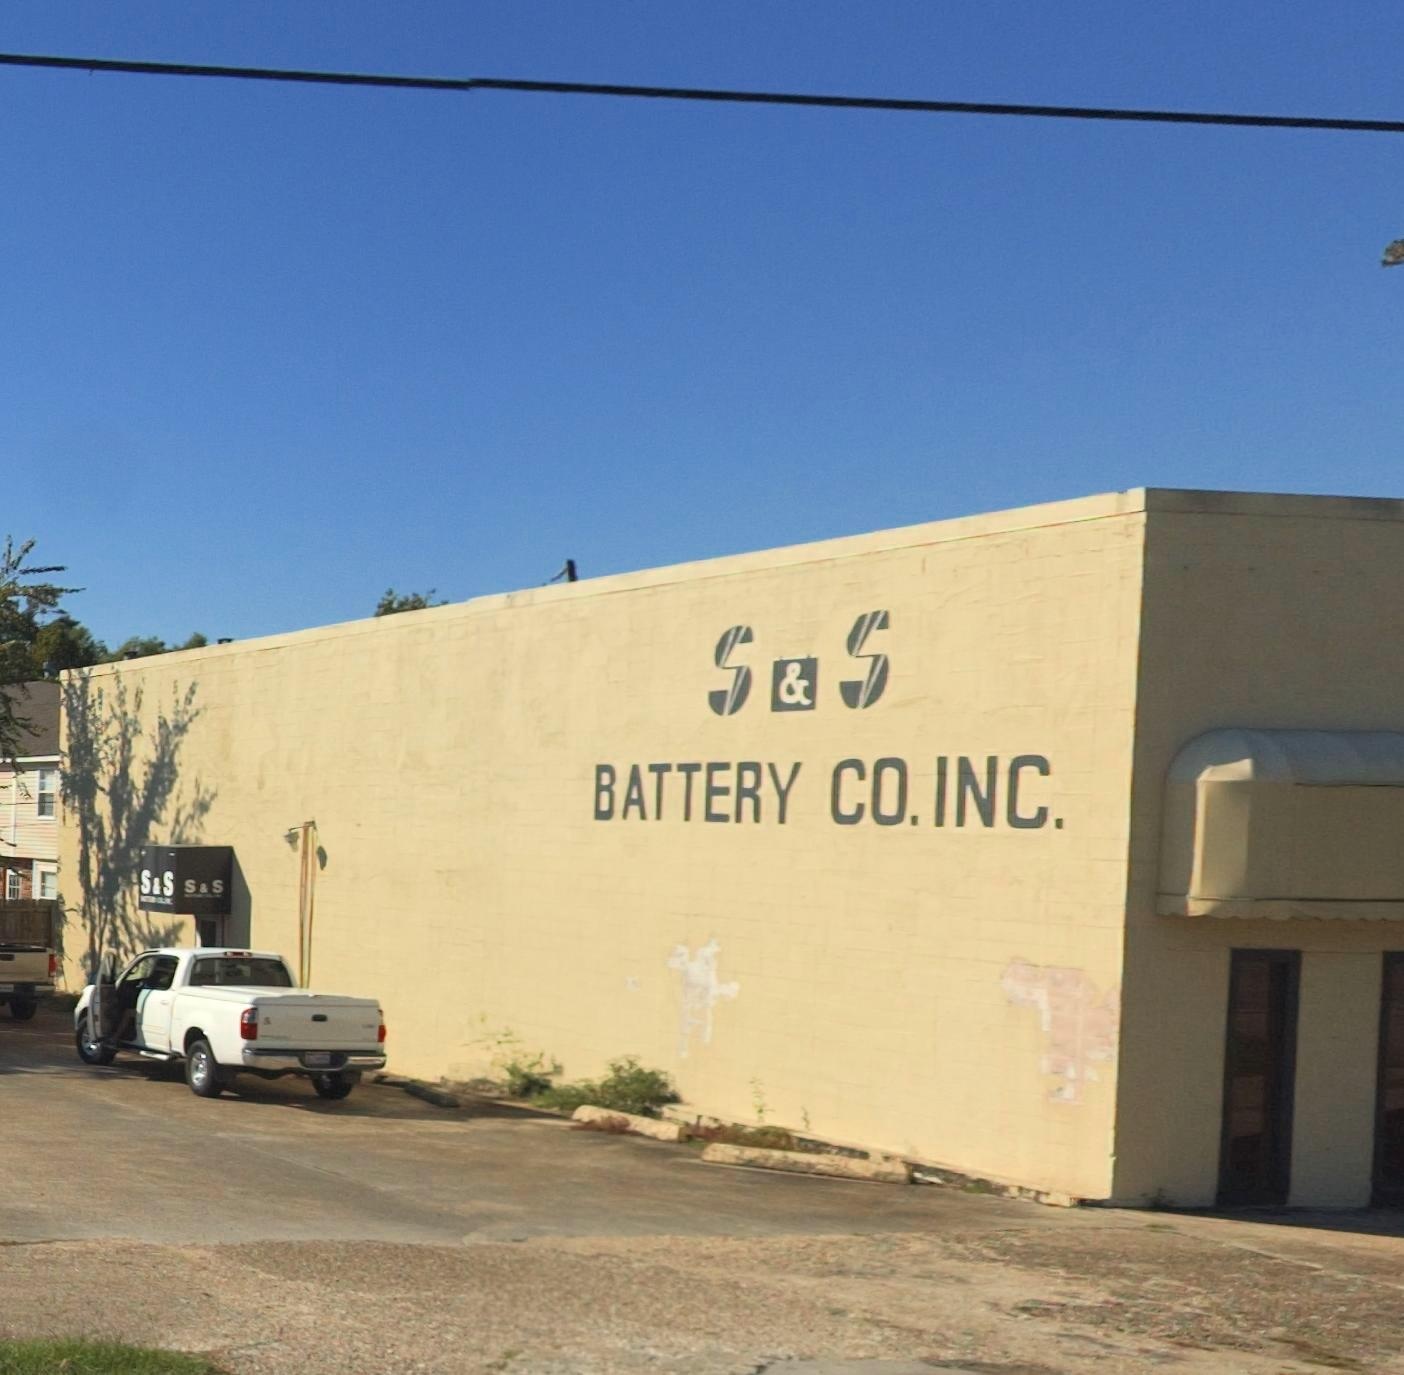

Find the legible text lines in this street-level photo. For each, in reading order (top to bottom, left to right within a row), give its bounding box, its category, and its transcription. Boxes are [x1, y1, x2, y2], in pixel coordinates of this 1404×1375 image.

[701, 603, 899, 722] BusinessName: S & S
[590, 750, 1068, 833] BusinessName: BATTERY CO. INC.
[139, 868, 175, 898] BusinessName: S & S
[183, 877, 226, 895] BusinessName: S & S